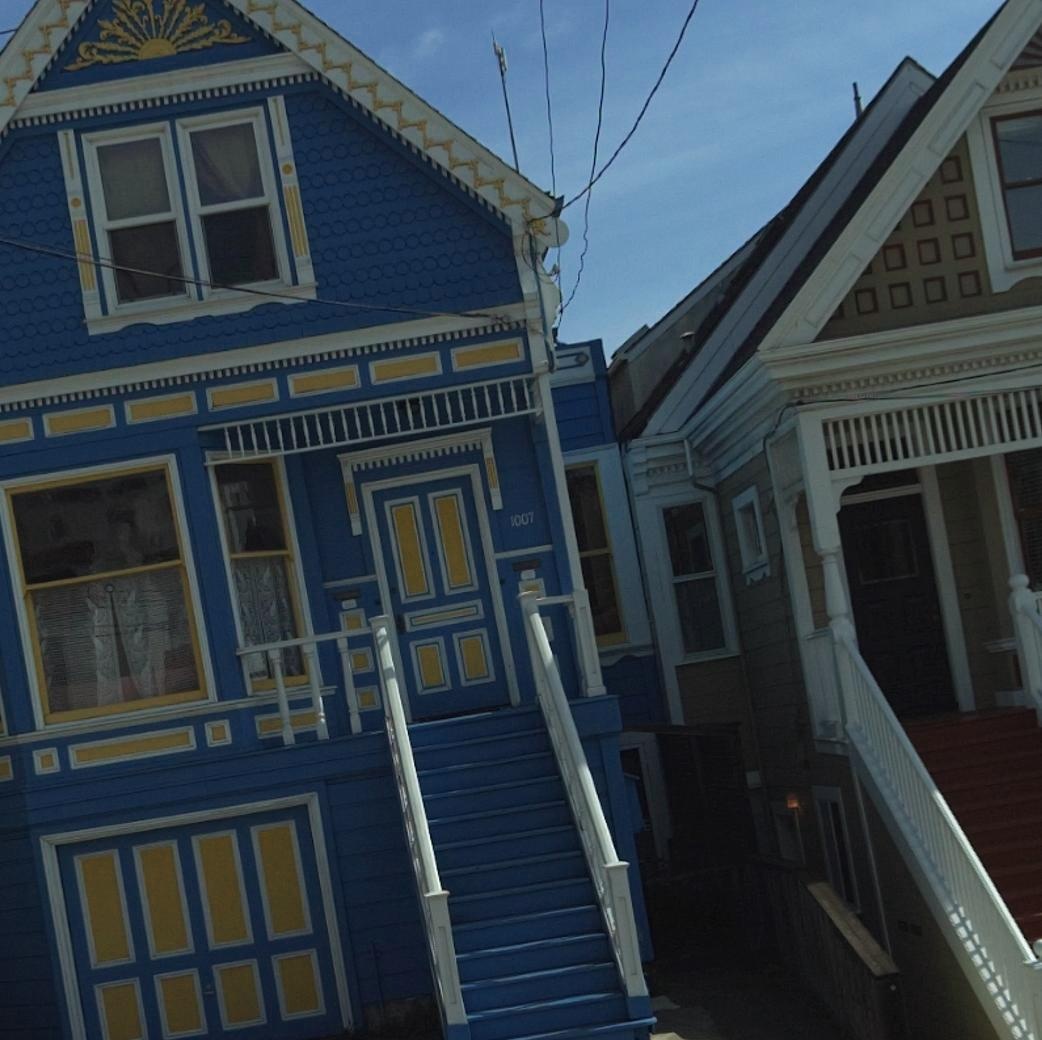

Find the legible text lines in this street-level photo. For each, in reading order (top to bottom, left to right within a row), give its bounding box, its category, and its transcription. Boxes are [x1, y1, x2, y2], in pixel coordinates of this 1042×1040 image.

[508, 509, 535, 529] StreetNumber: 1007